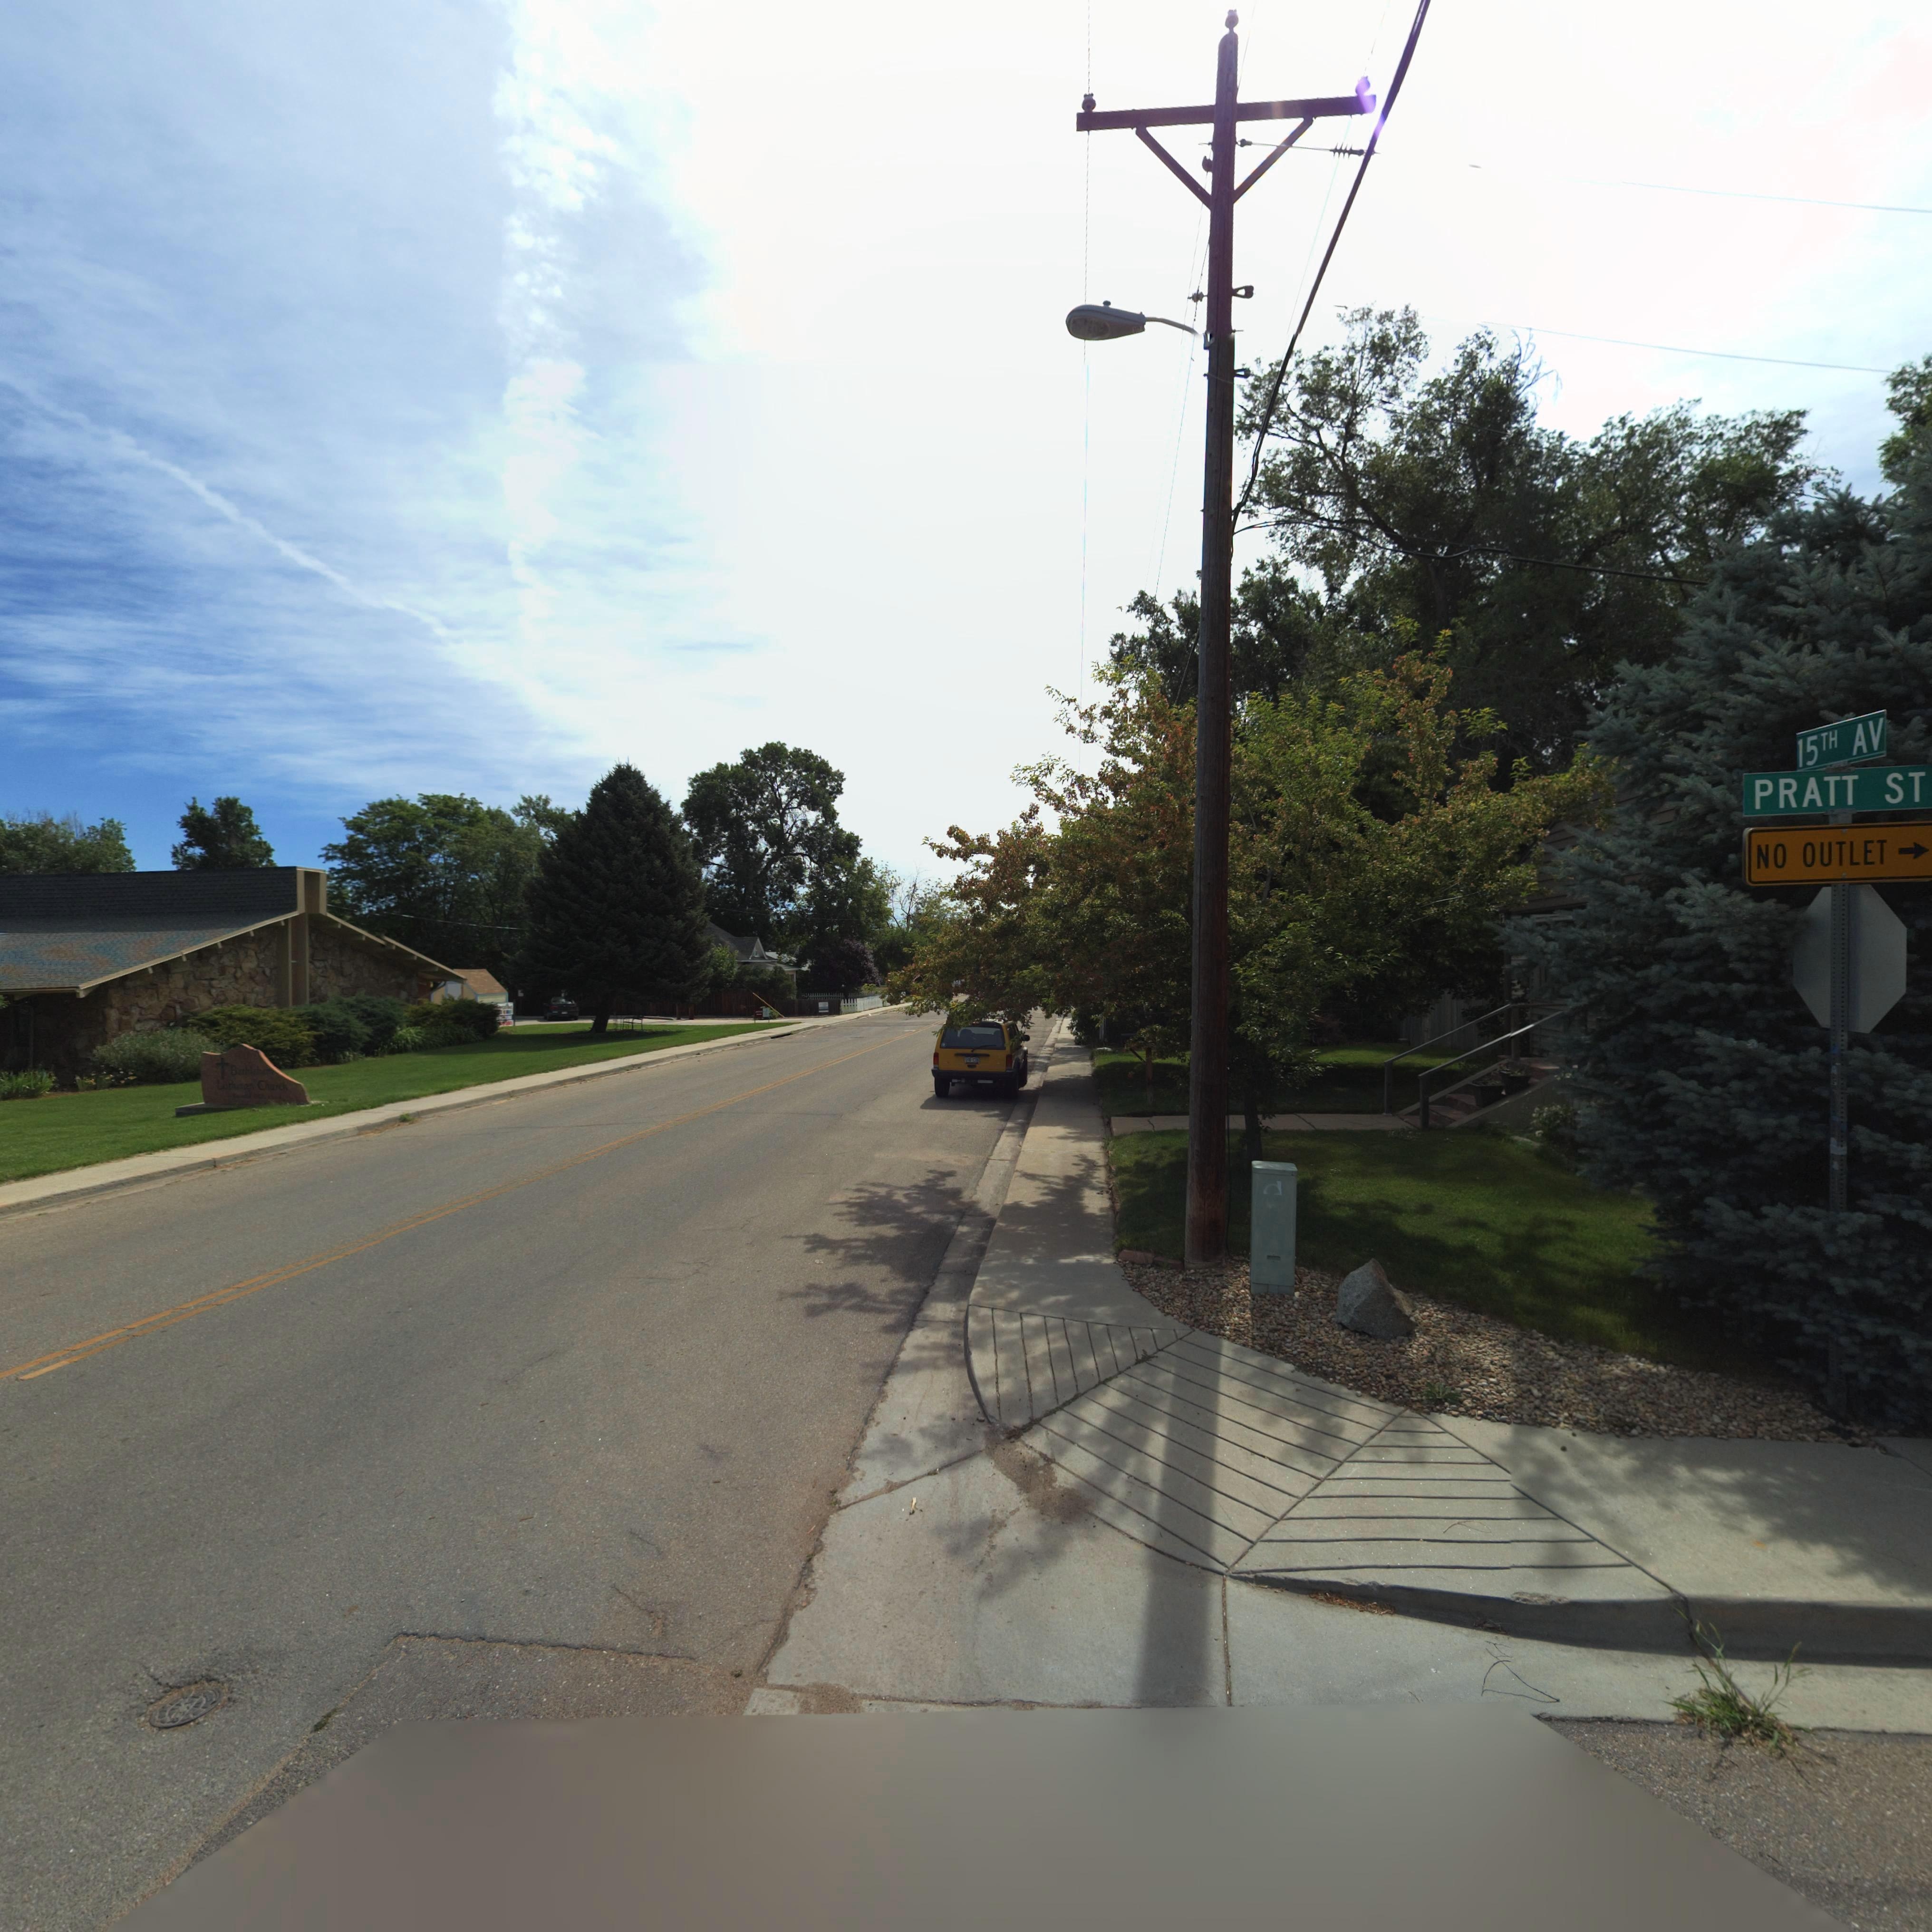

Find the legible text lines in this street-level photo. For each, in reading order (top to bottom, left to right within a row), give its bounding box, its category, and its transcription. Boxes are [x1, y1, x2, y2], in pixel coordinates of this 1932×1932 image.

[1797, 717, 1884, 769] StreetName: 15TH AV
[1753, 770, 1927, 811] StreetName: PRATT ST
[216, 1079, 288, 1091] BusinessName: Lutheran Church
[230, 1064, 275, 1076] BusinessName: Bethl****